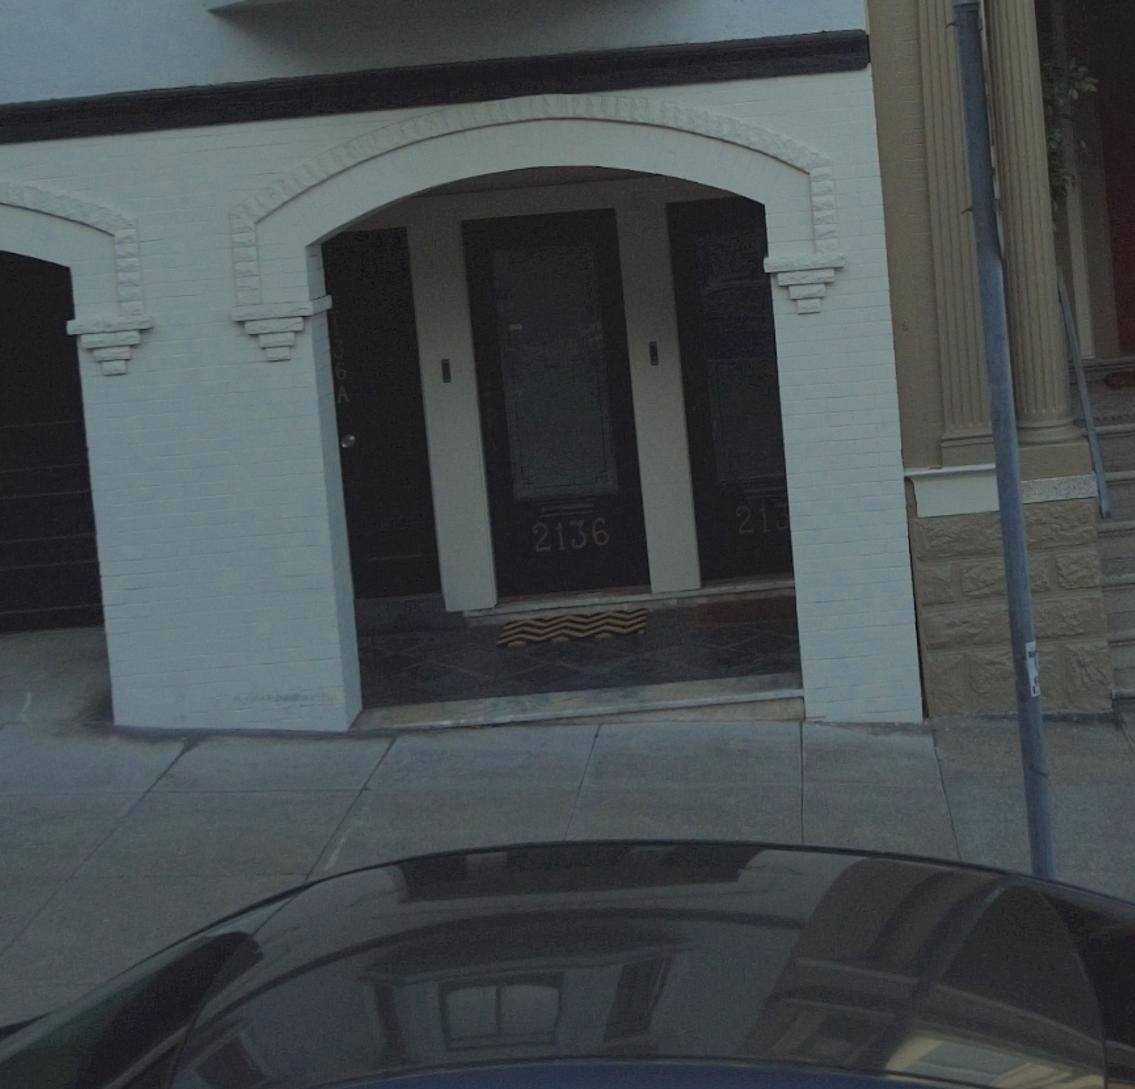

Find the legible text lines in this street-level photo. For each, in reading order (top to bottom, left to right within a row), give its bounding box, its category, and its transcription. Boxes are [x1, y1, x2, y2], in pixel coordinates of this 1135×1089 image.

[325, 309, 353, 407] StreetNumber: 136A
[528, 513, 612, 557] StreetNumber: 2136
[732, 497, 793, 539] StreetNumber: 213